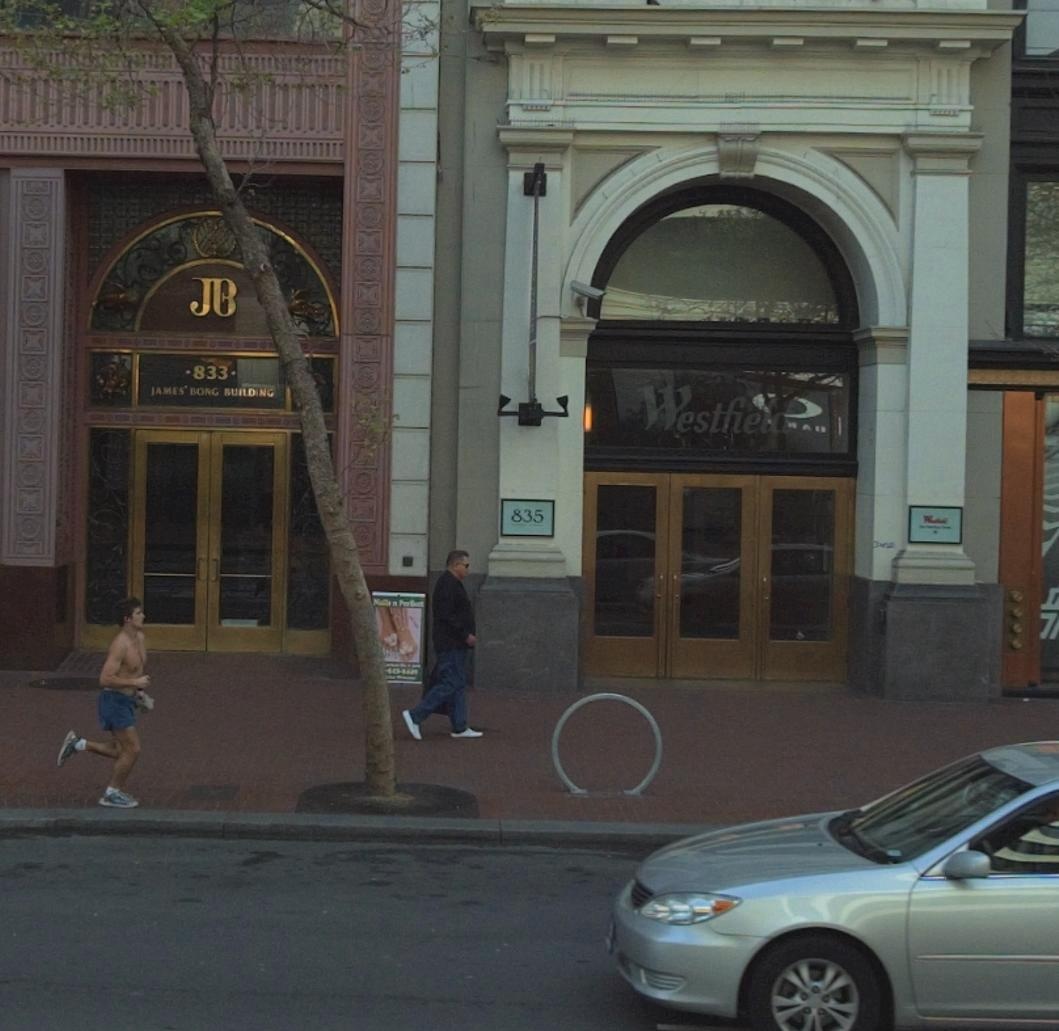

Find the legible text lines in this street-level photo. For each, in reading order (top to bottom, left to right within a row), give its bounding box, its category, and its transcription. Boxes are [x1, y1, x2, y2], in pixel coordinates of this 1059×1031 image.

[186, 271, 244, 323] None: JB
[188, 361, 233, 384] StreetNumber: 833
[146, 382, 279, 403] None: JAMES' BONG BUILDING
[636, 380, 806, 443] BusinessName: Westfield
[508, 505, 547, 526] StreetNumber: 835